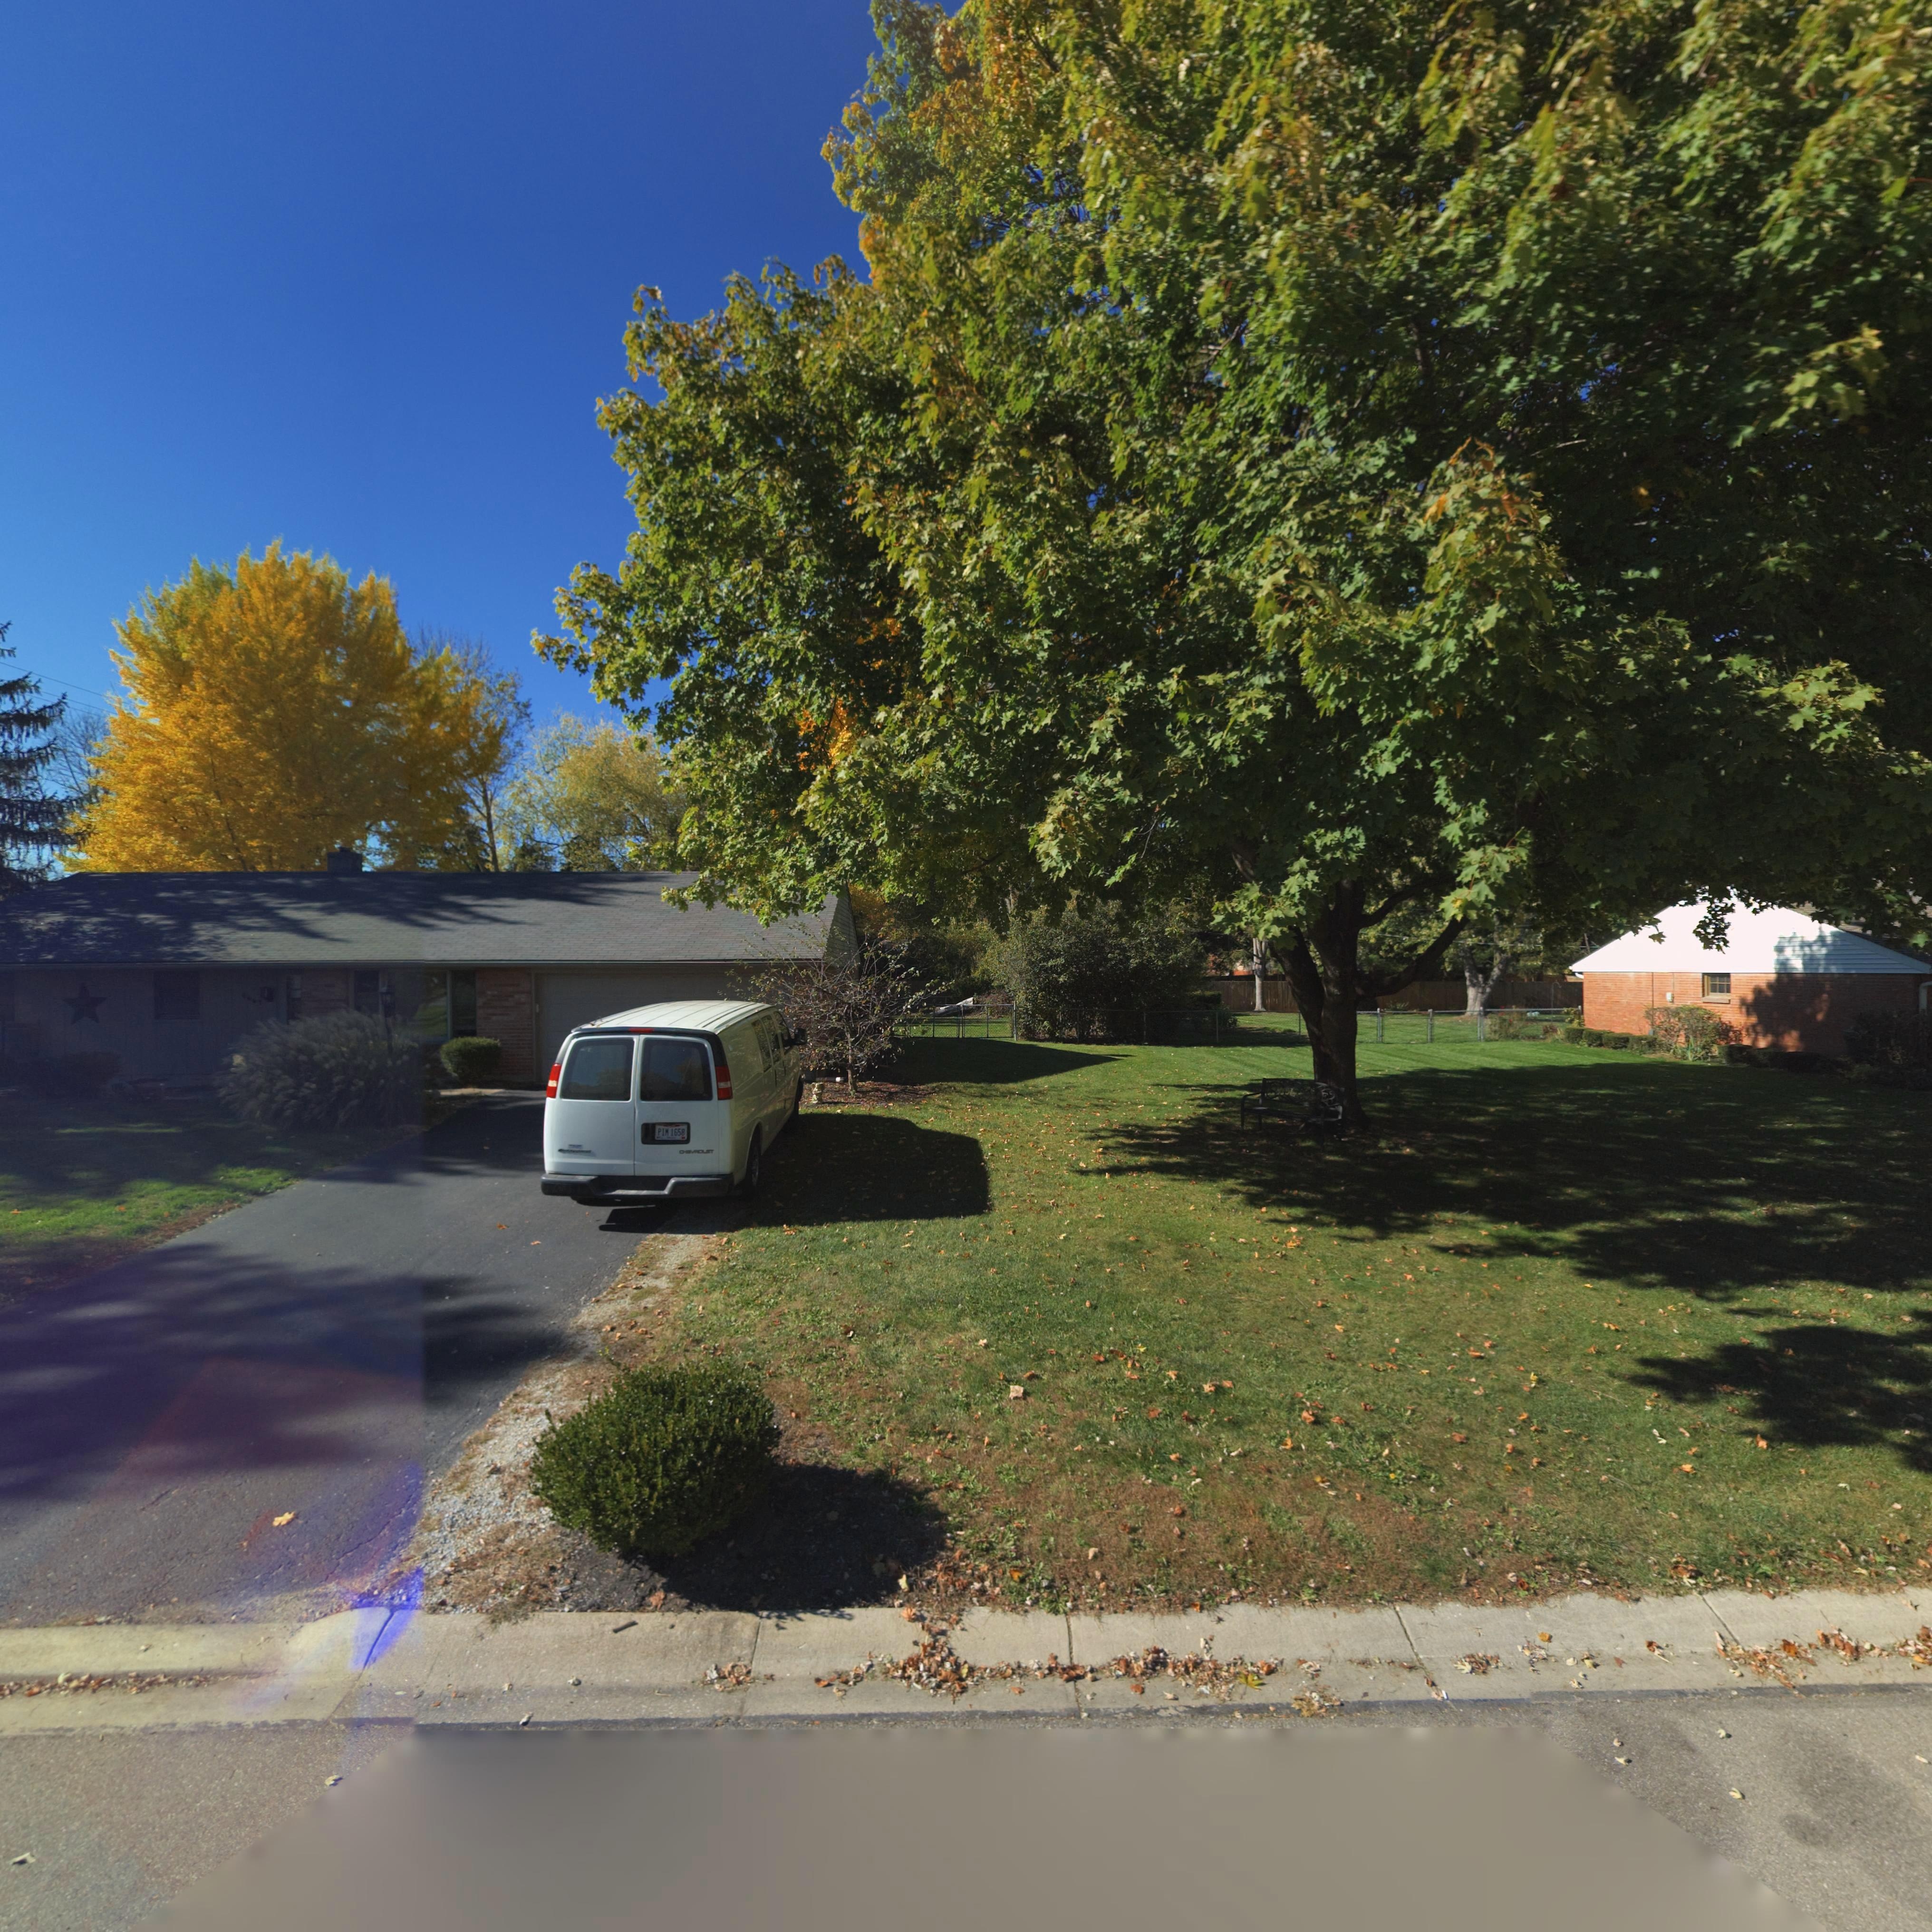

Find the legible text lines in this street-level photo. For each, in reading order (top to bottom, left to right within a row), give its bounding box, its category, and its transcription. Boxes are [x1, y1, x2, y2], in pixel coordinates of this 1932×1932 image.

[240, 992, 262, 1006] StreetNumber: 6661
[656, 1127, 686, 1137] None: PIM*1658
[678, 1149, 715, 1154] None: CHEVROLET